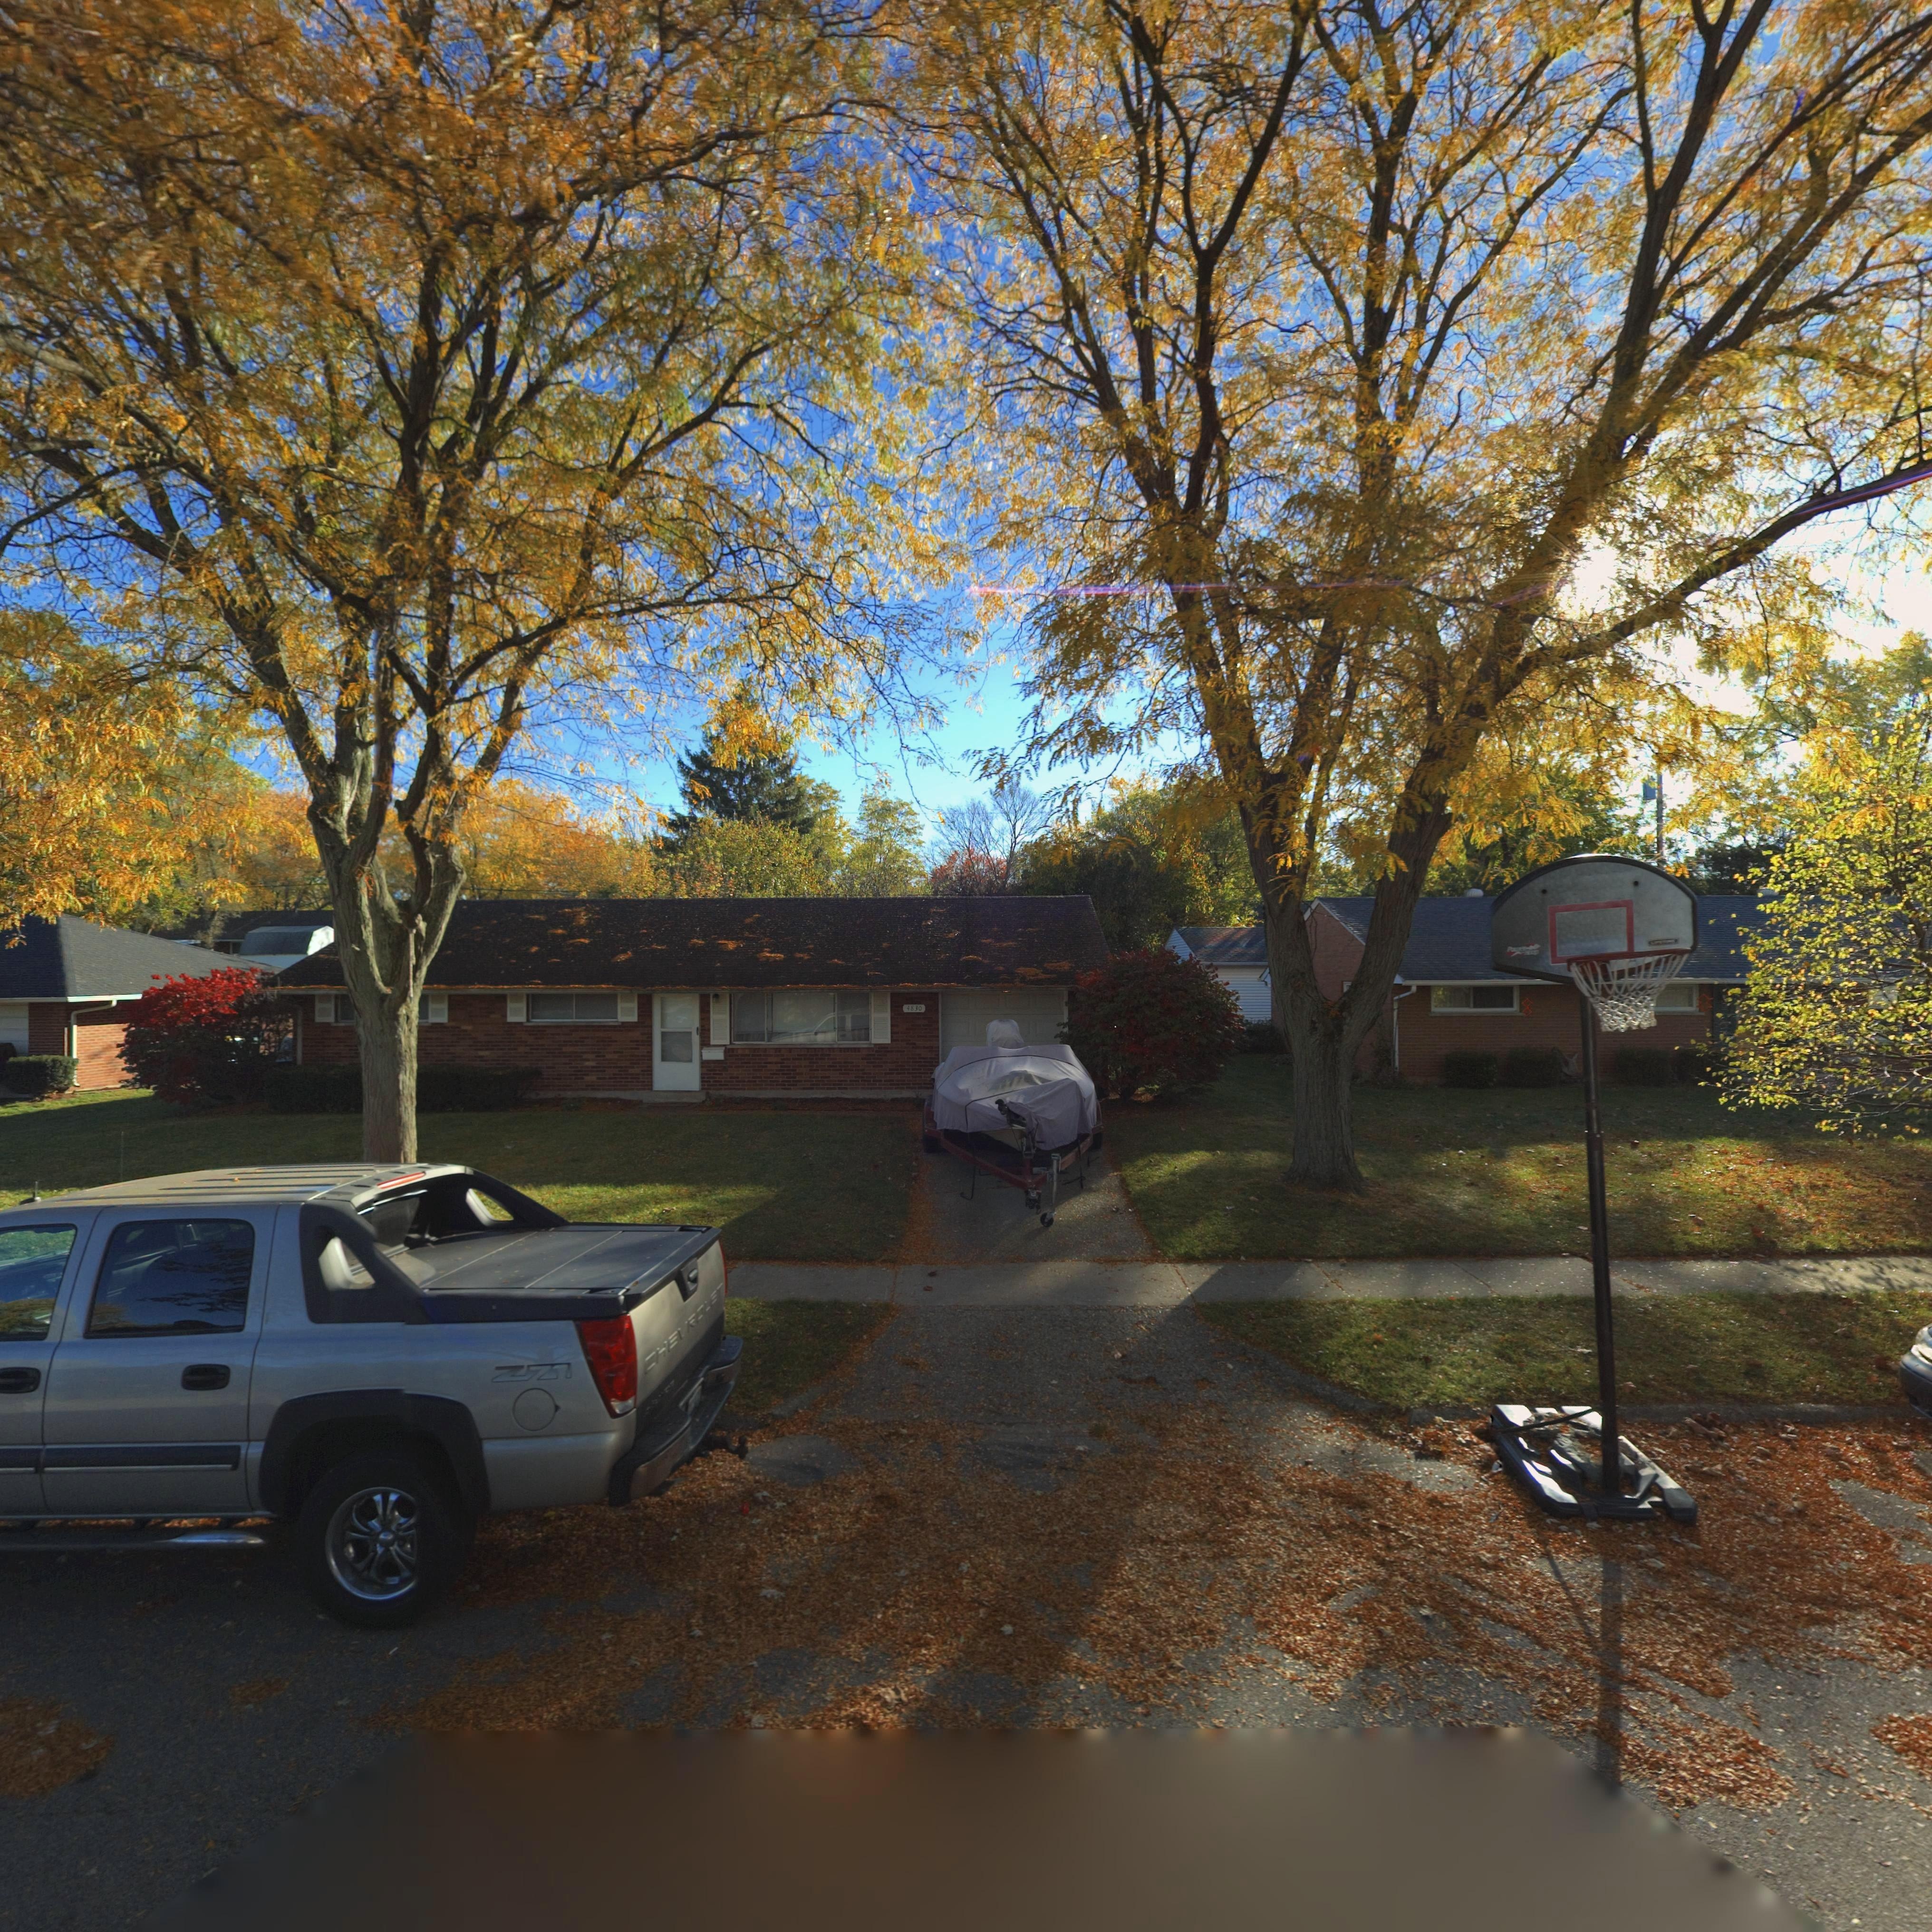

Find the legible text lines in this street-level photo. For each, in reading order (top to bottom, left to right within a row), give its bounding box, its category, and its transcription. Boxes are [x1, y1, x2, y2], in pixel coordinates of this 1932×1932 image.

[906, 1005, 923, 1012] StreetNumber: 4830